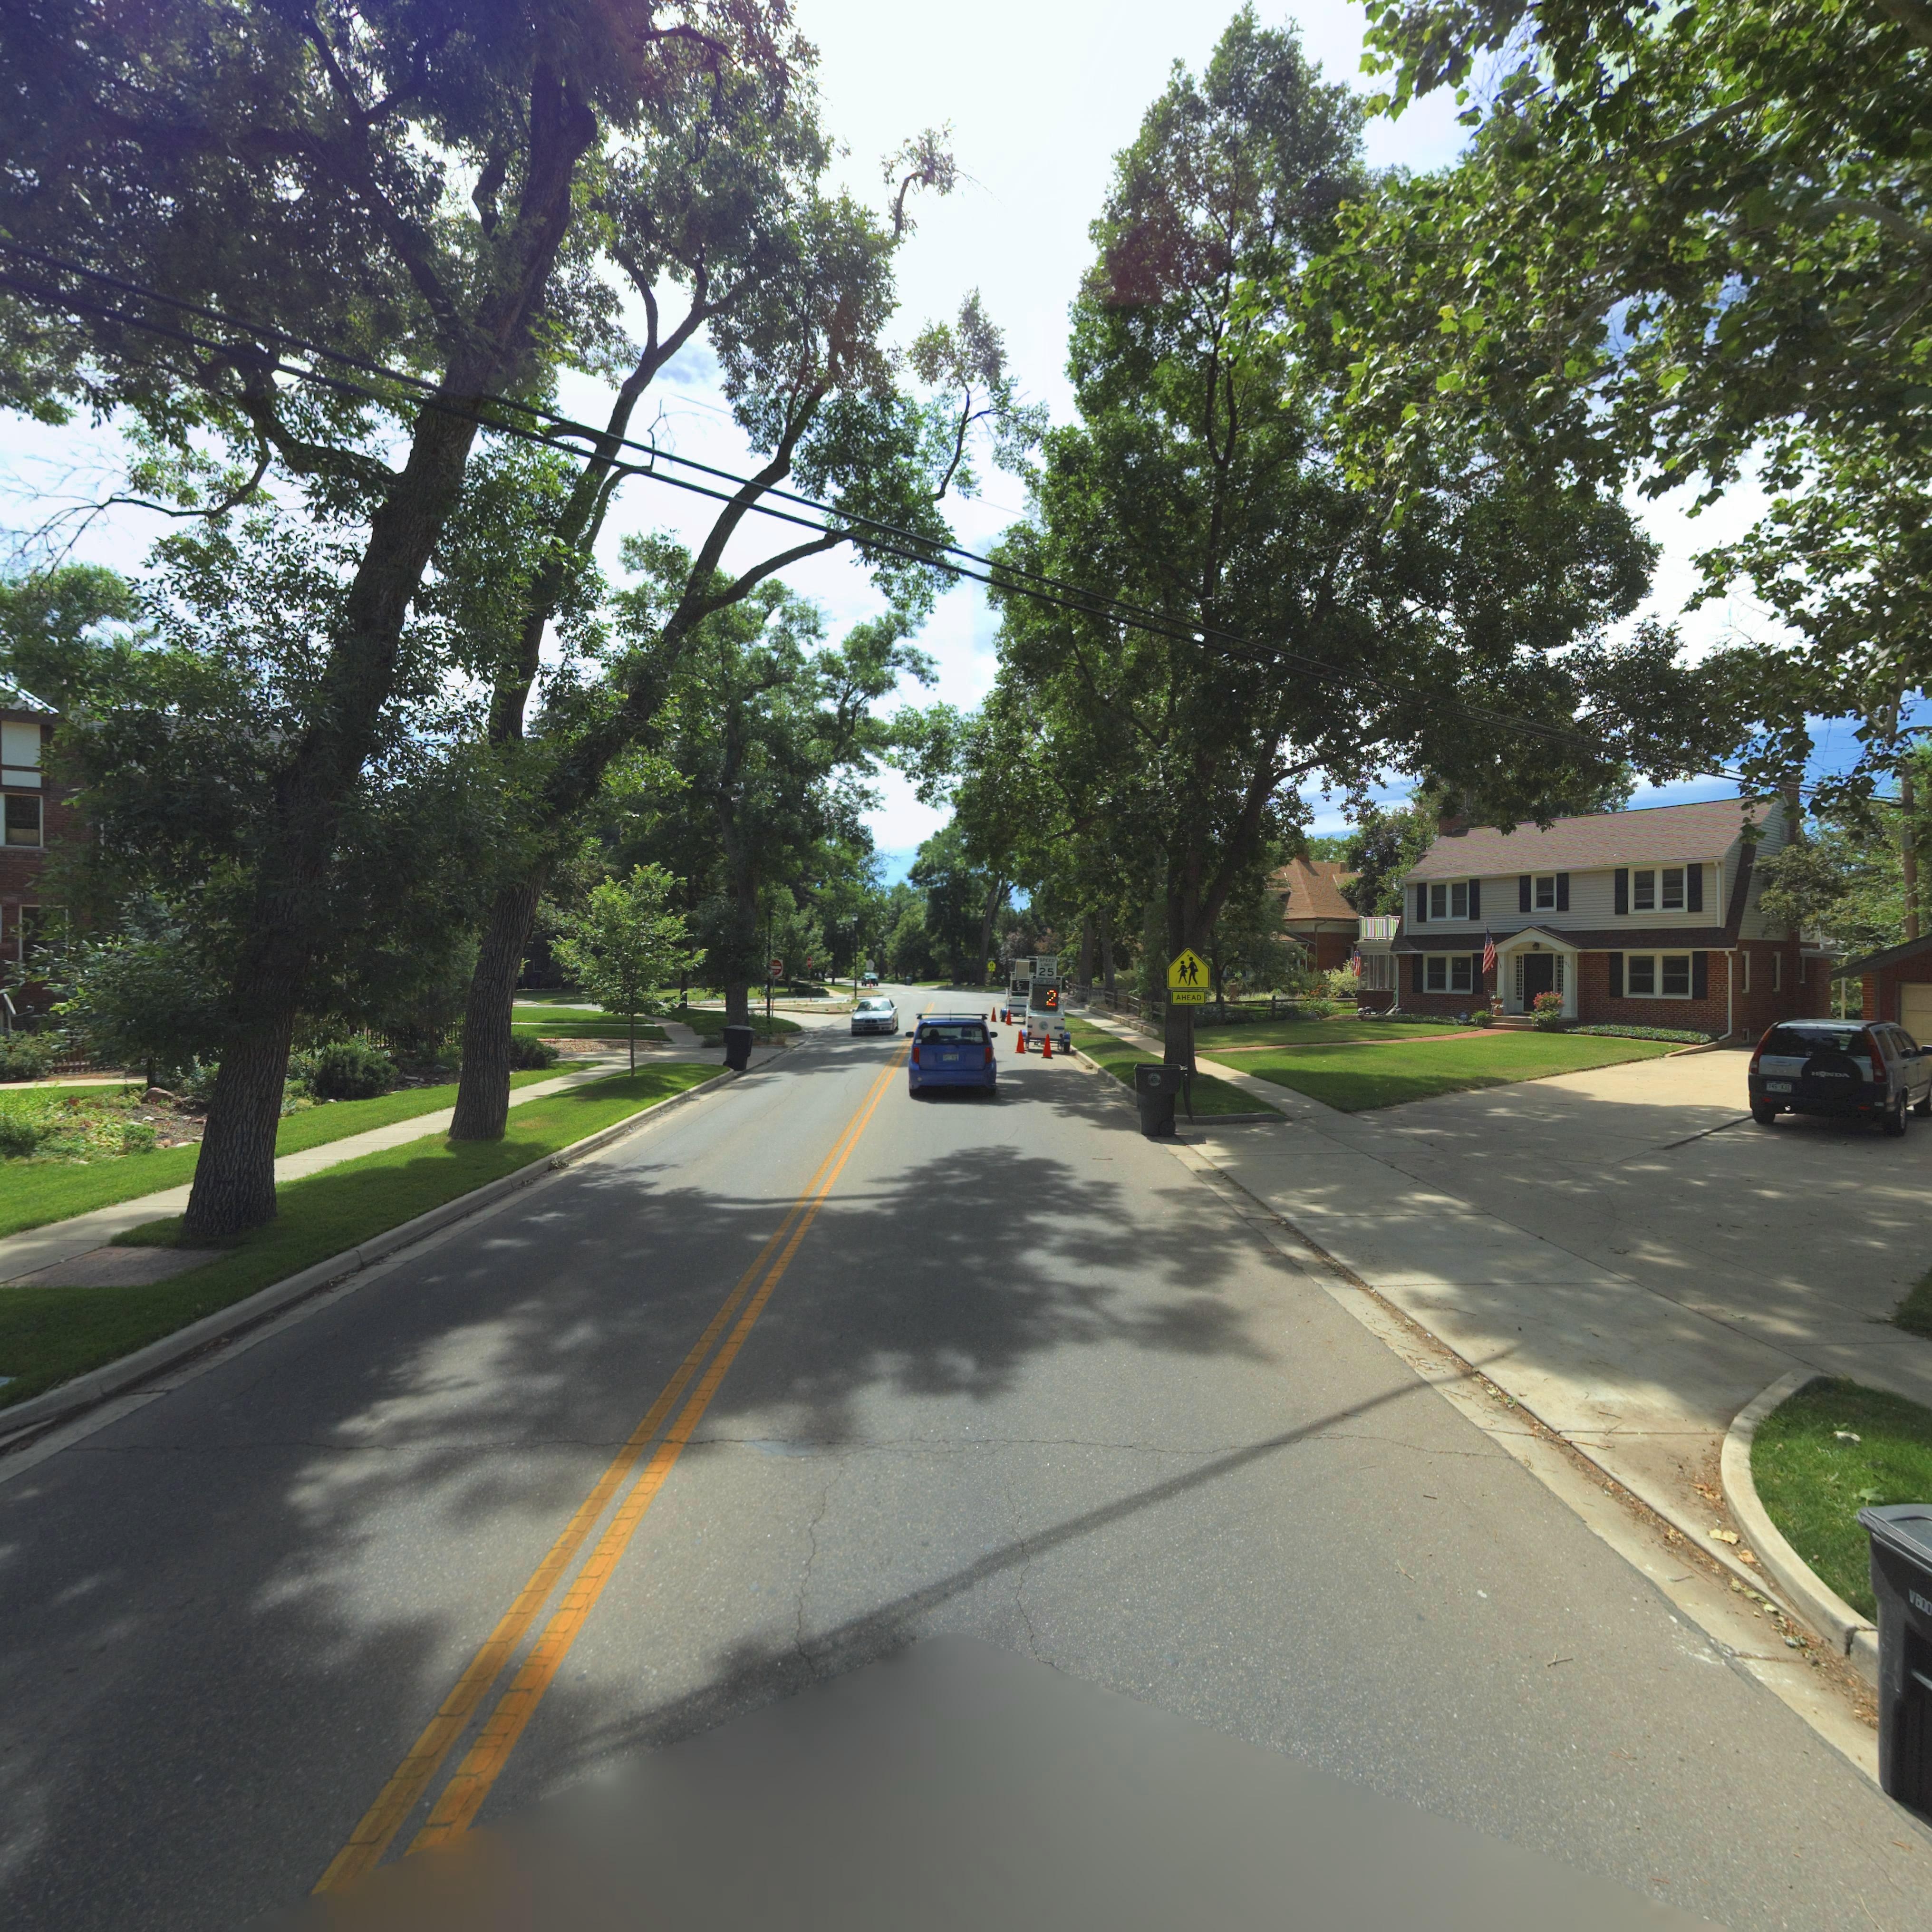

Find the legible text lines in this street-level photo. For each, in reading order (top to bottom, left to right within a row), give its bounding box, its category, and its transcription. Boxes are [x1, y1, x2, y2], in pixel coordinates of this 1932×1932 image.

[1564, 960, 1570, 968] StreetNumber: 1211